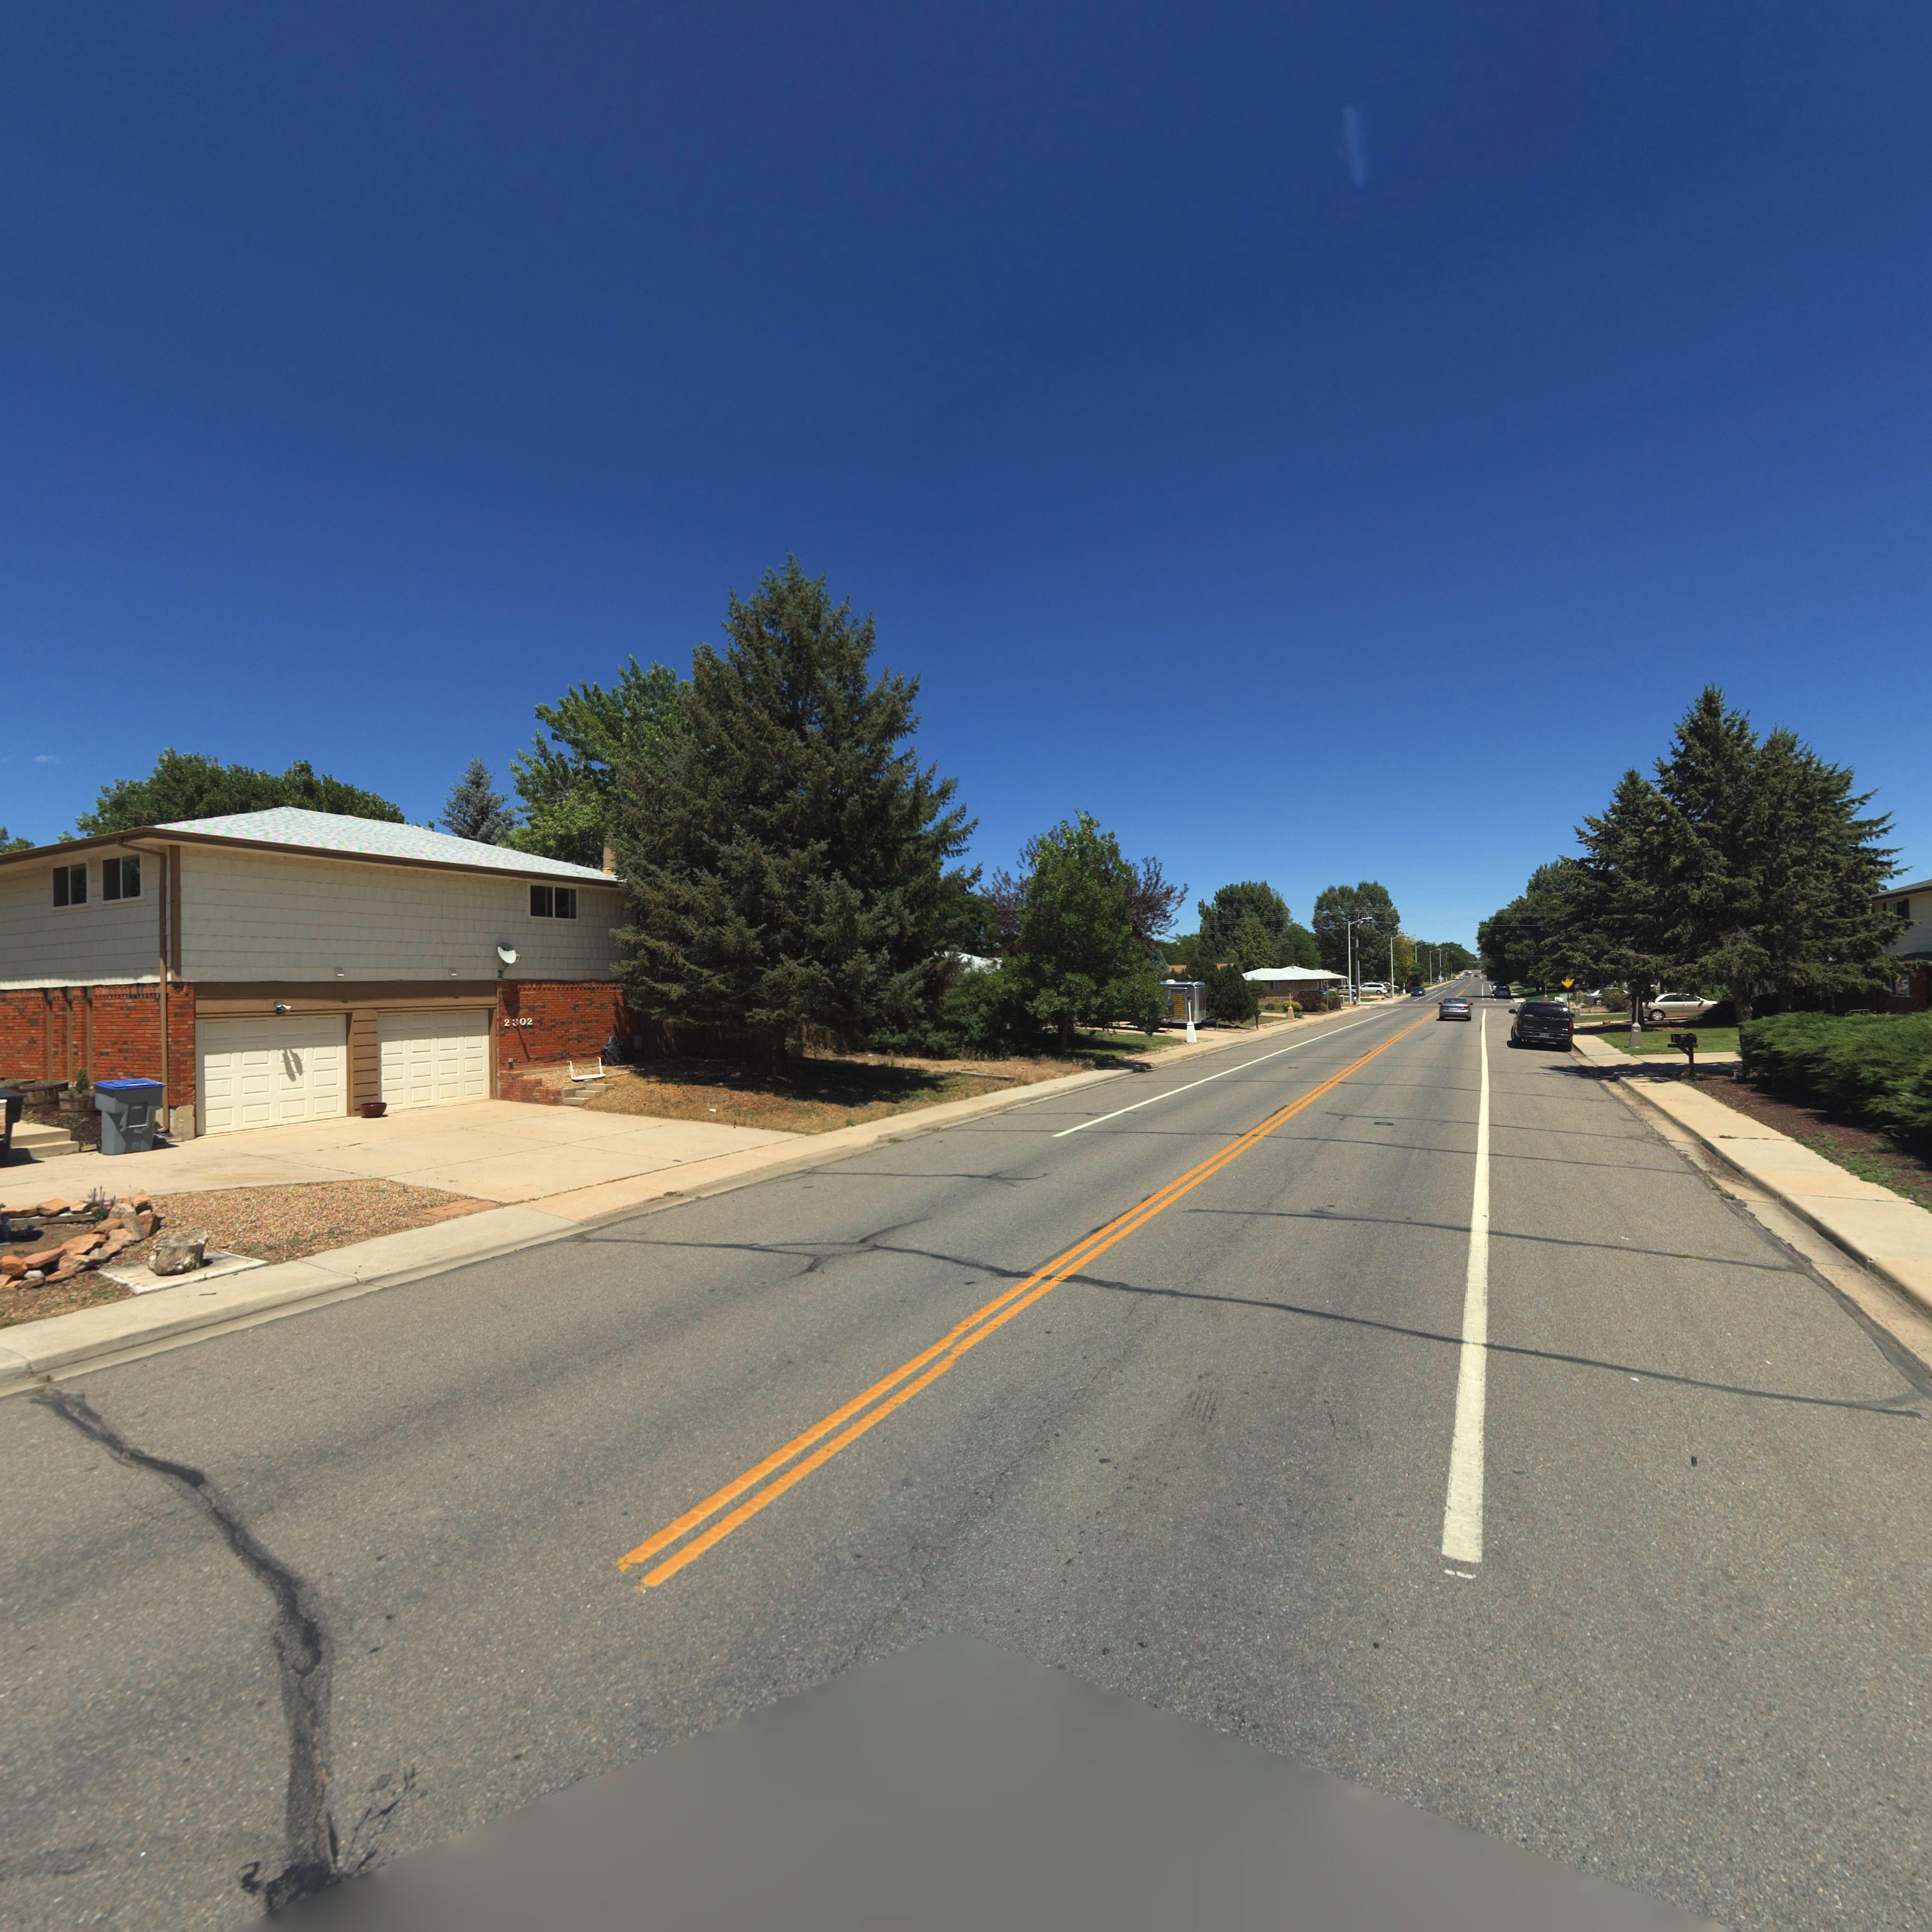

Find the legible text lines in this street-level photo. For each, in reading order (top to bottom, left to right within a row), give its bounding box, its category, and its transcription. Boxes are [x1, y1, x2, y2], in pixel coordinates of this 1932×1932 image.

[503, 1016, 533, 1027] StreetNumber: 2302